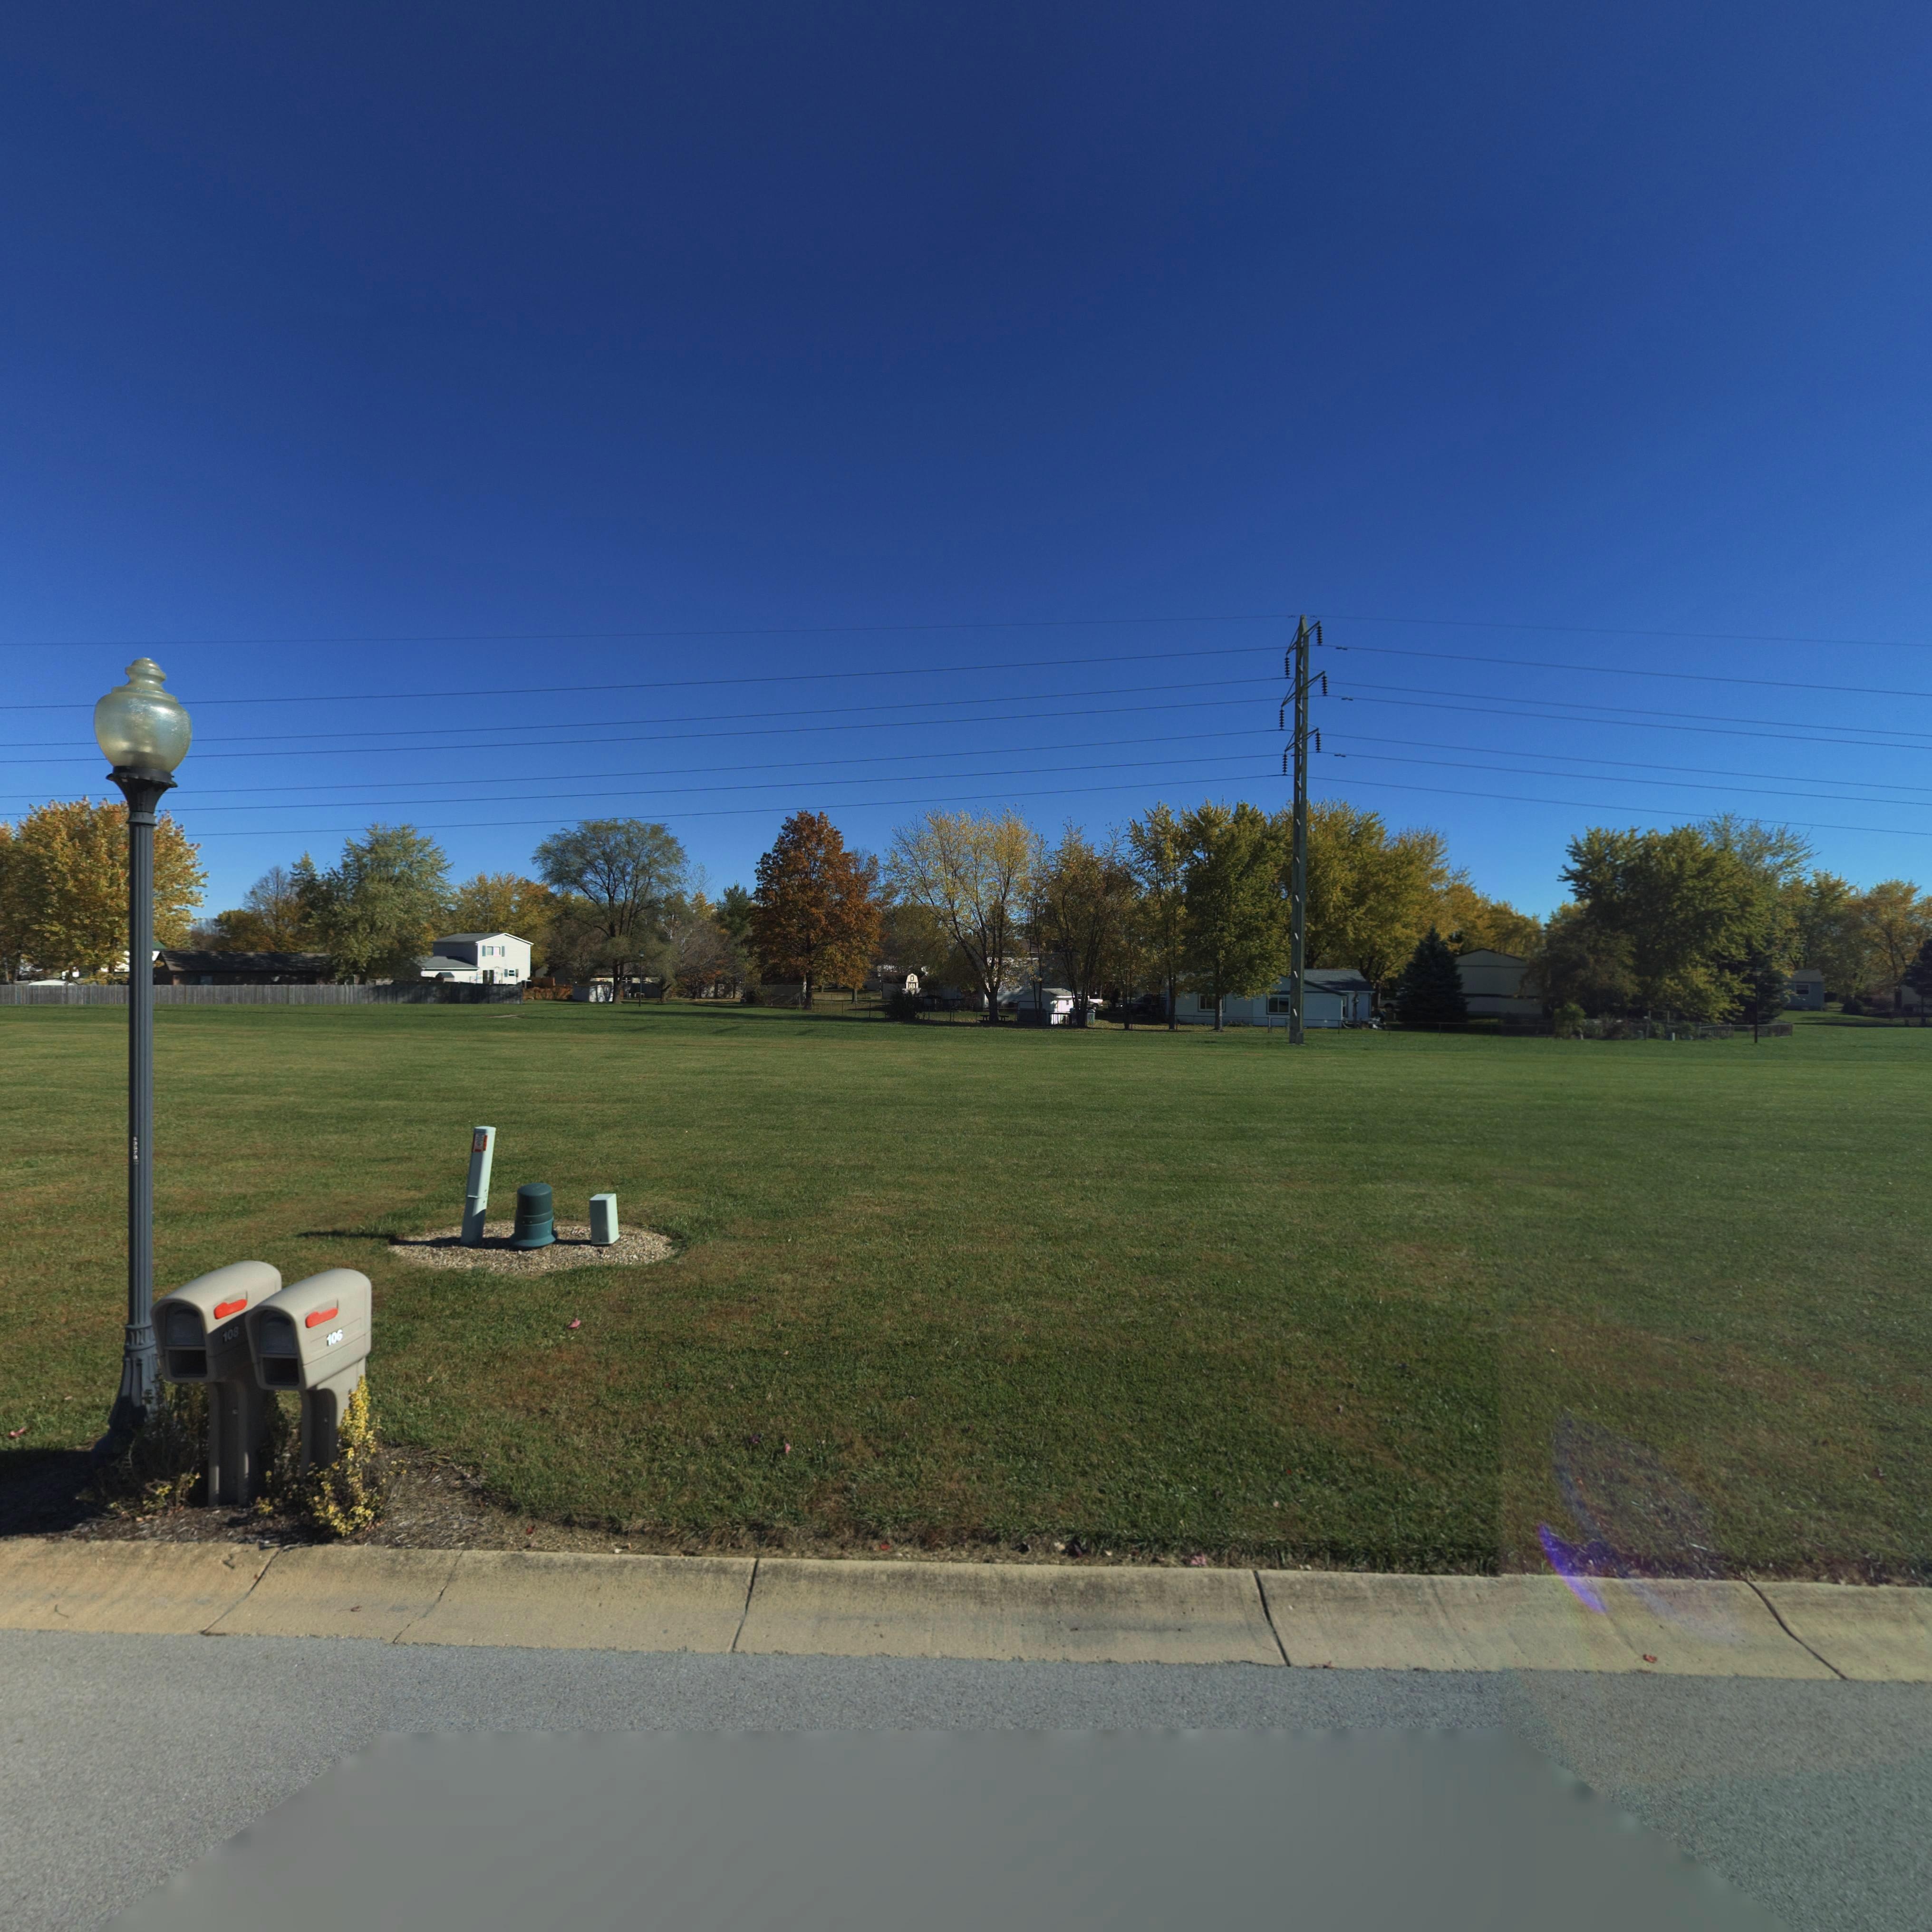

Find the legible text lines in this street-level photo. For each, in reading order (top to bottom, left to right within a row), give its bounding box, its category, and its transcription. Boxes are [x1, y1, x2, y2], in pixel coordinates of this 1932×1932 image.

[222, 1324, 240, 1343] StreetNumber: 108
[326, 1328, 344, 1347] StreetNumber: 106